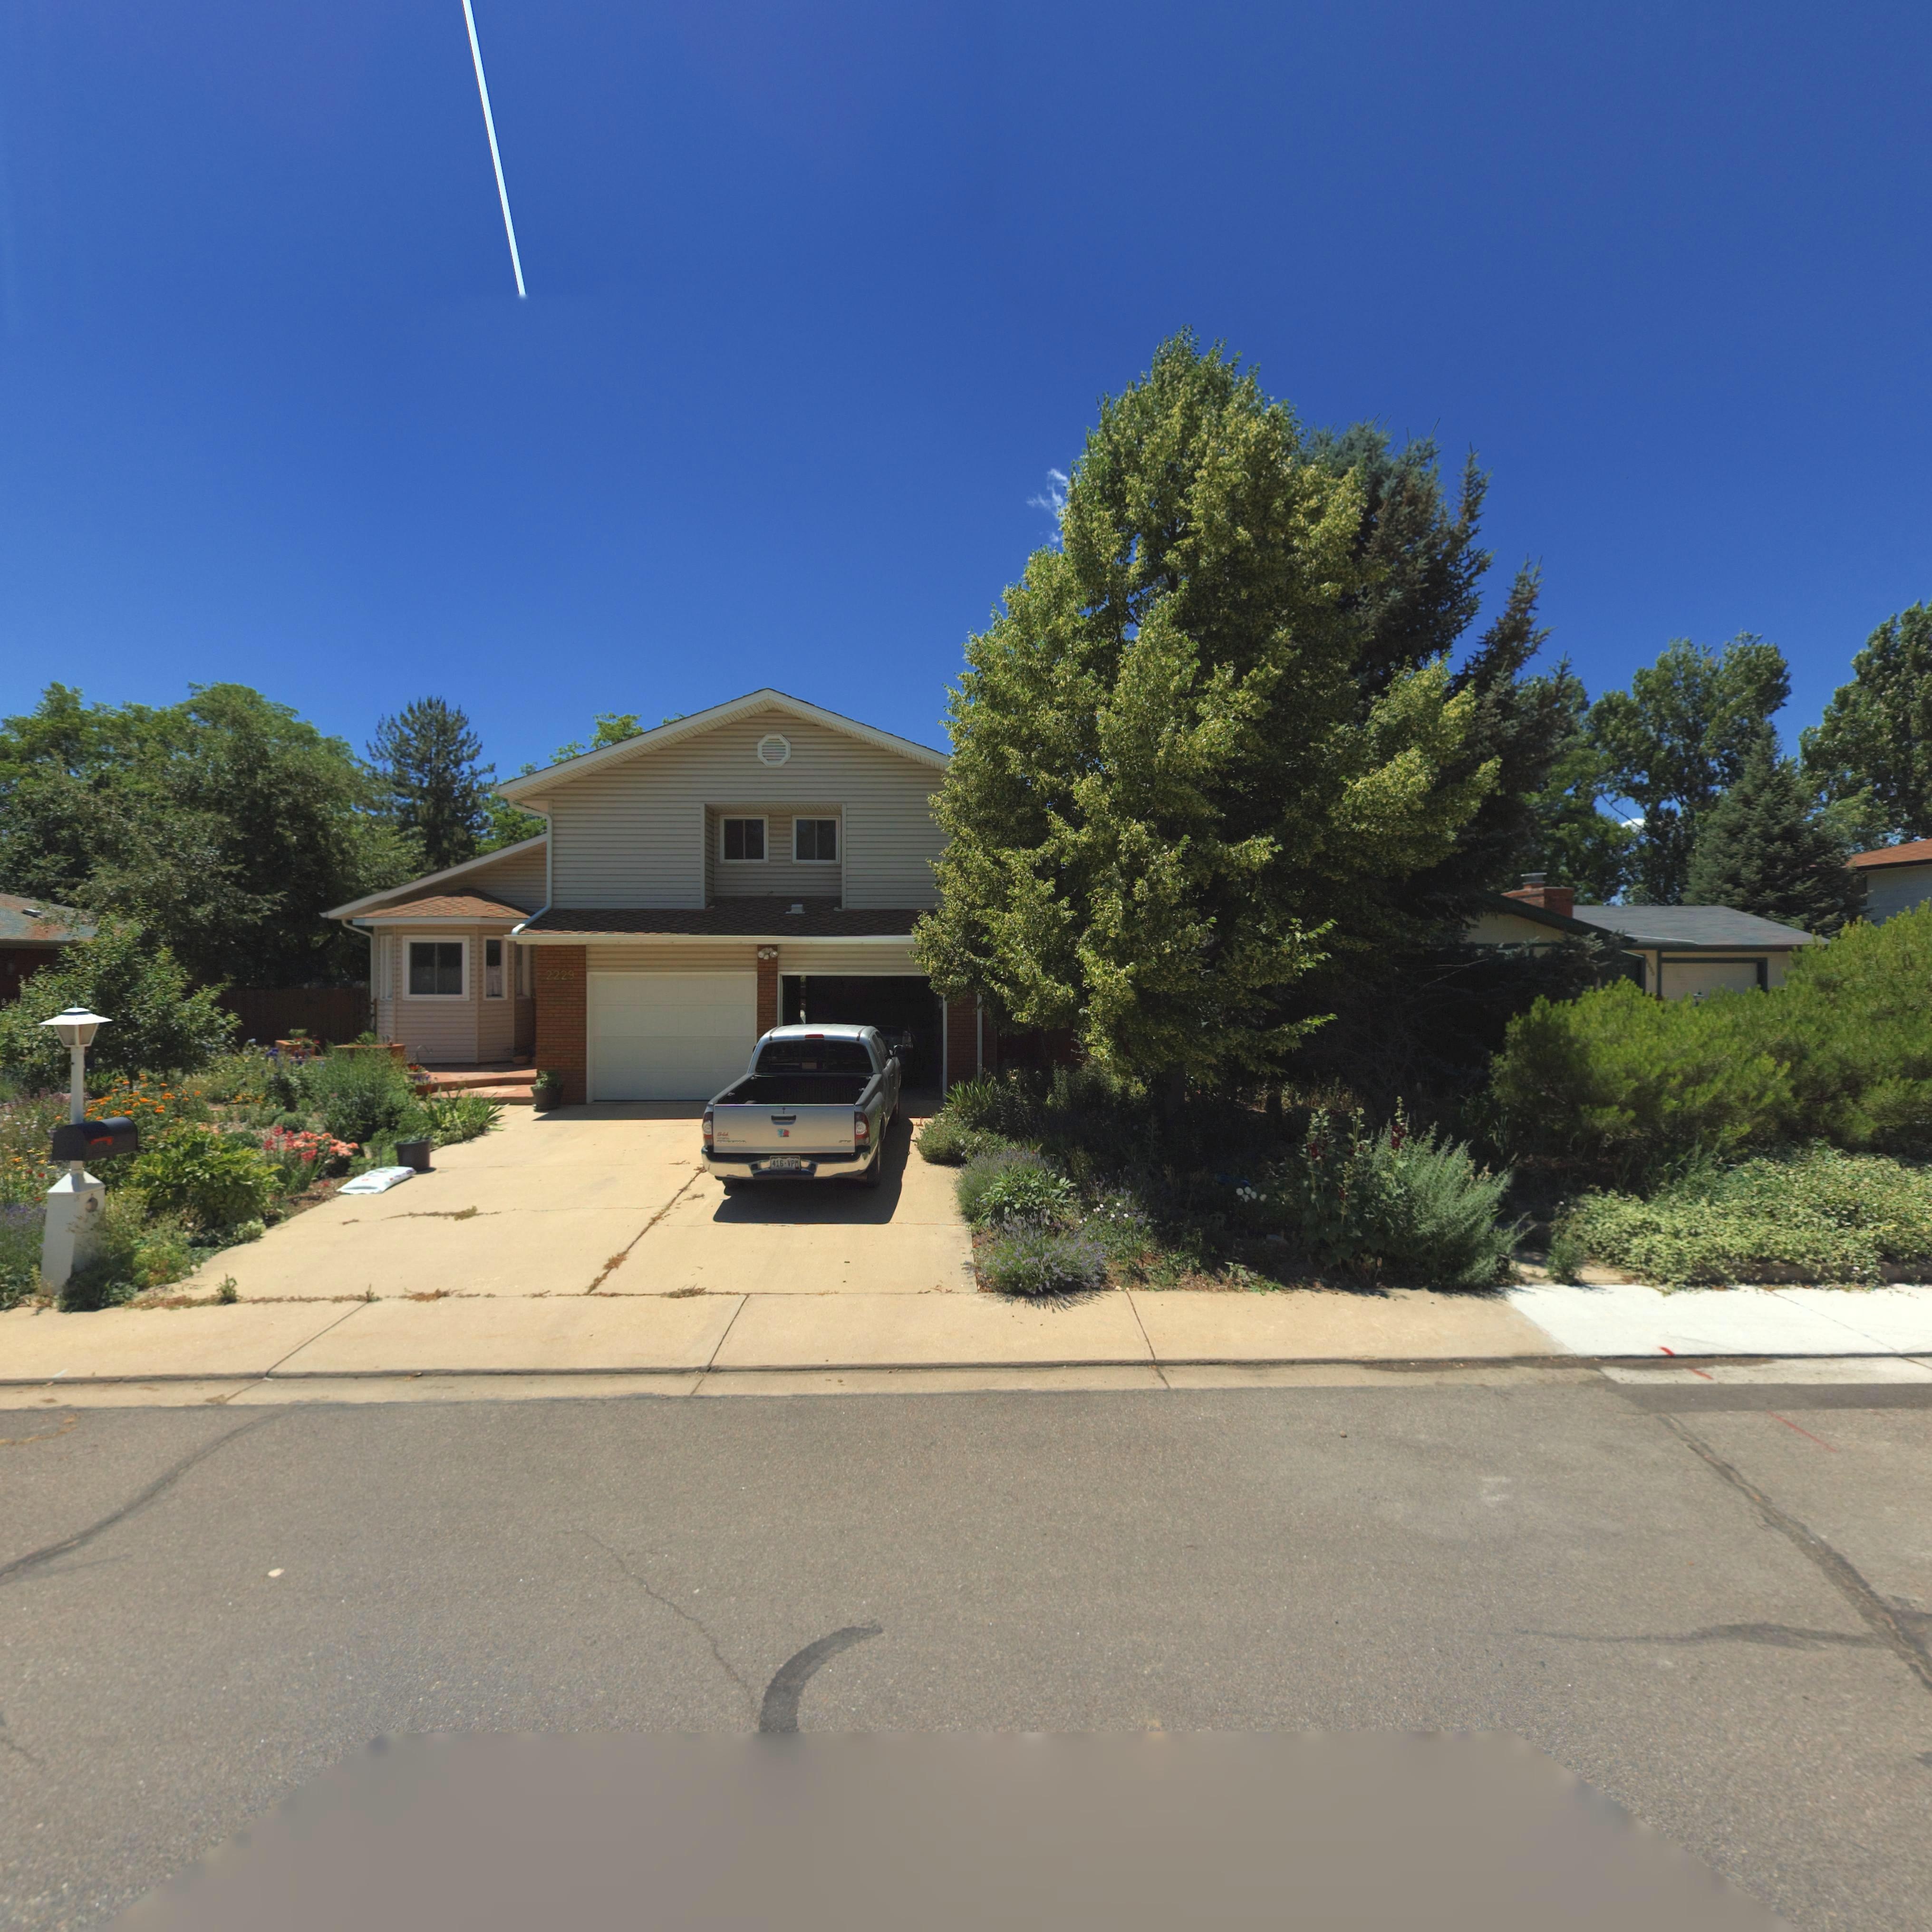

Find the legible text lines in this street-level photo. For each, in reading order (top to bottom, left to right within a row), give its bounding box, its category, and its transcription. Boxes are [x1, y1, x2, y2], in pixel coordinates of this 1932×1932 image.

[545, 969, 575, 980] StreetNumber: 2229